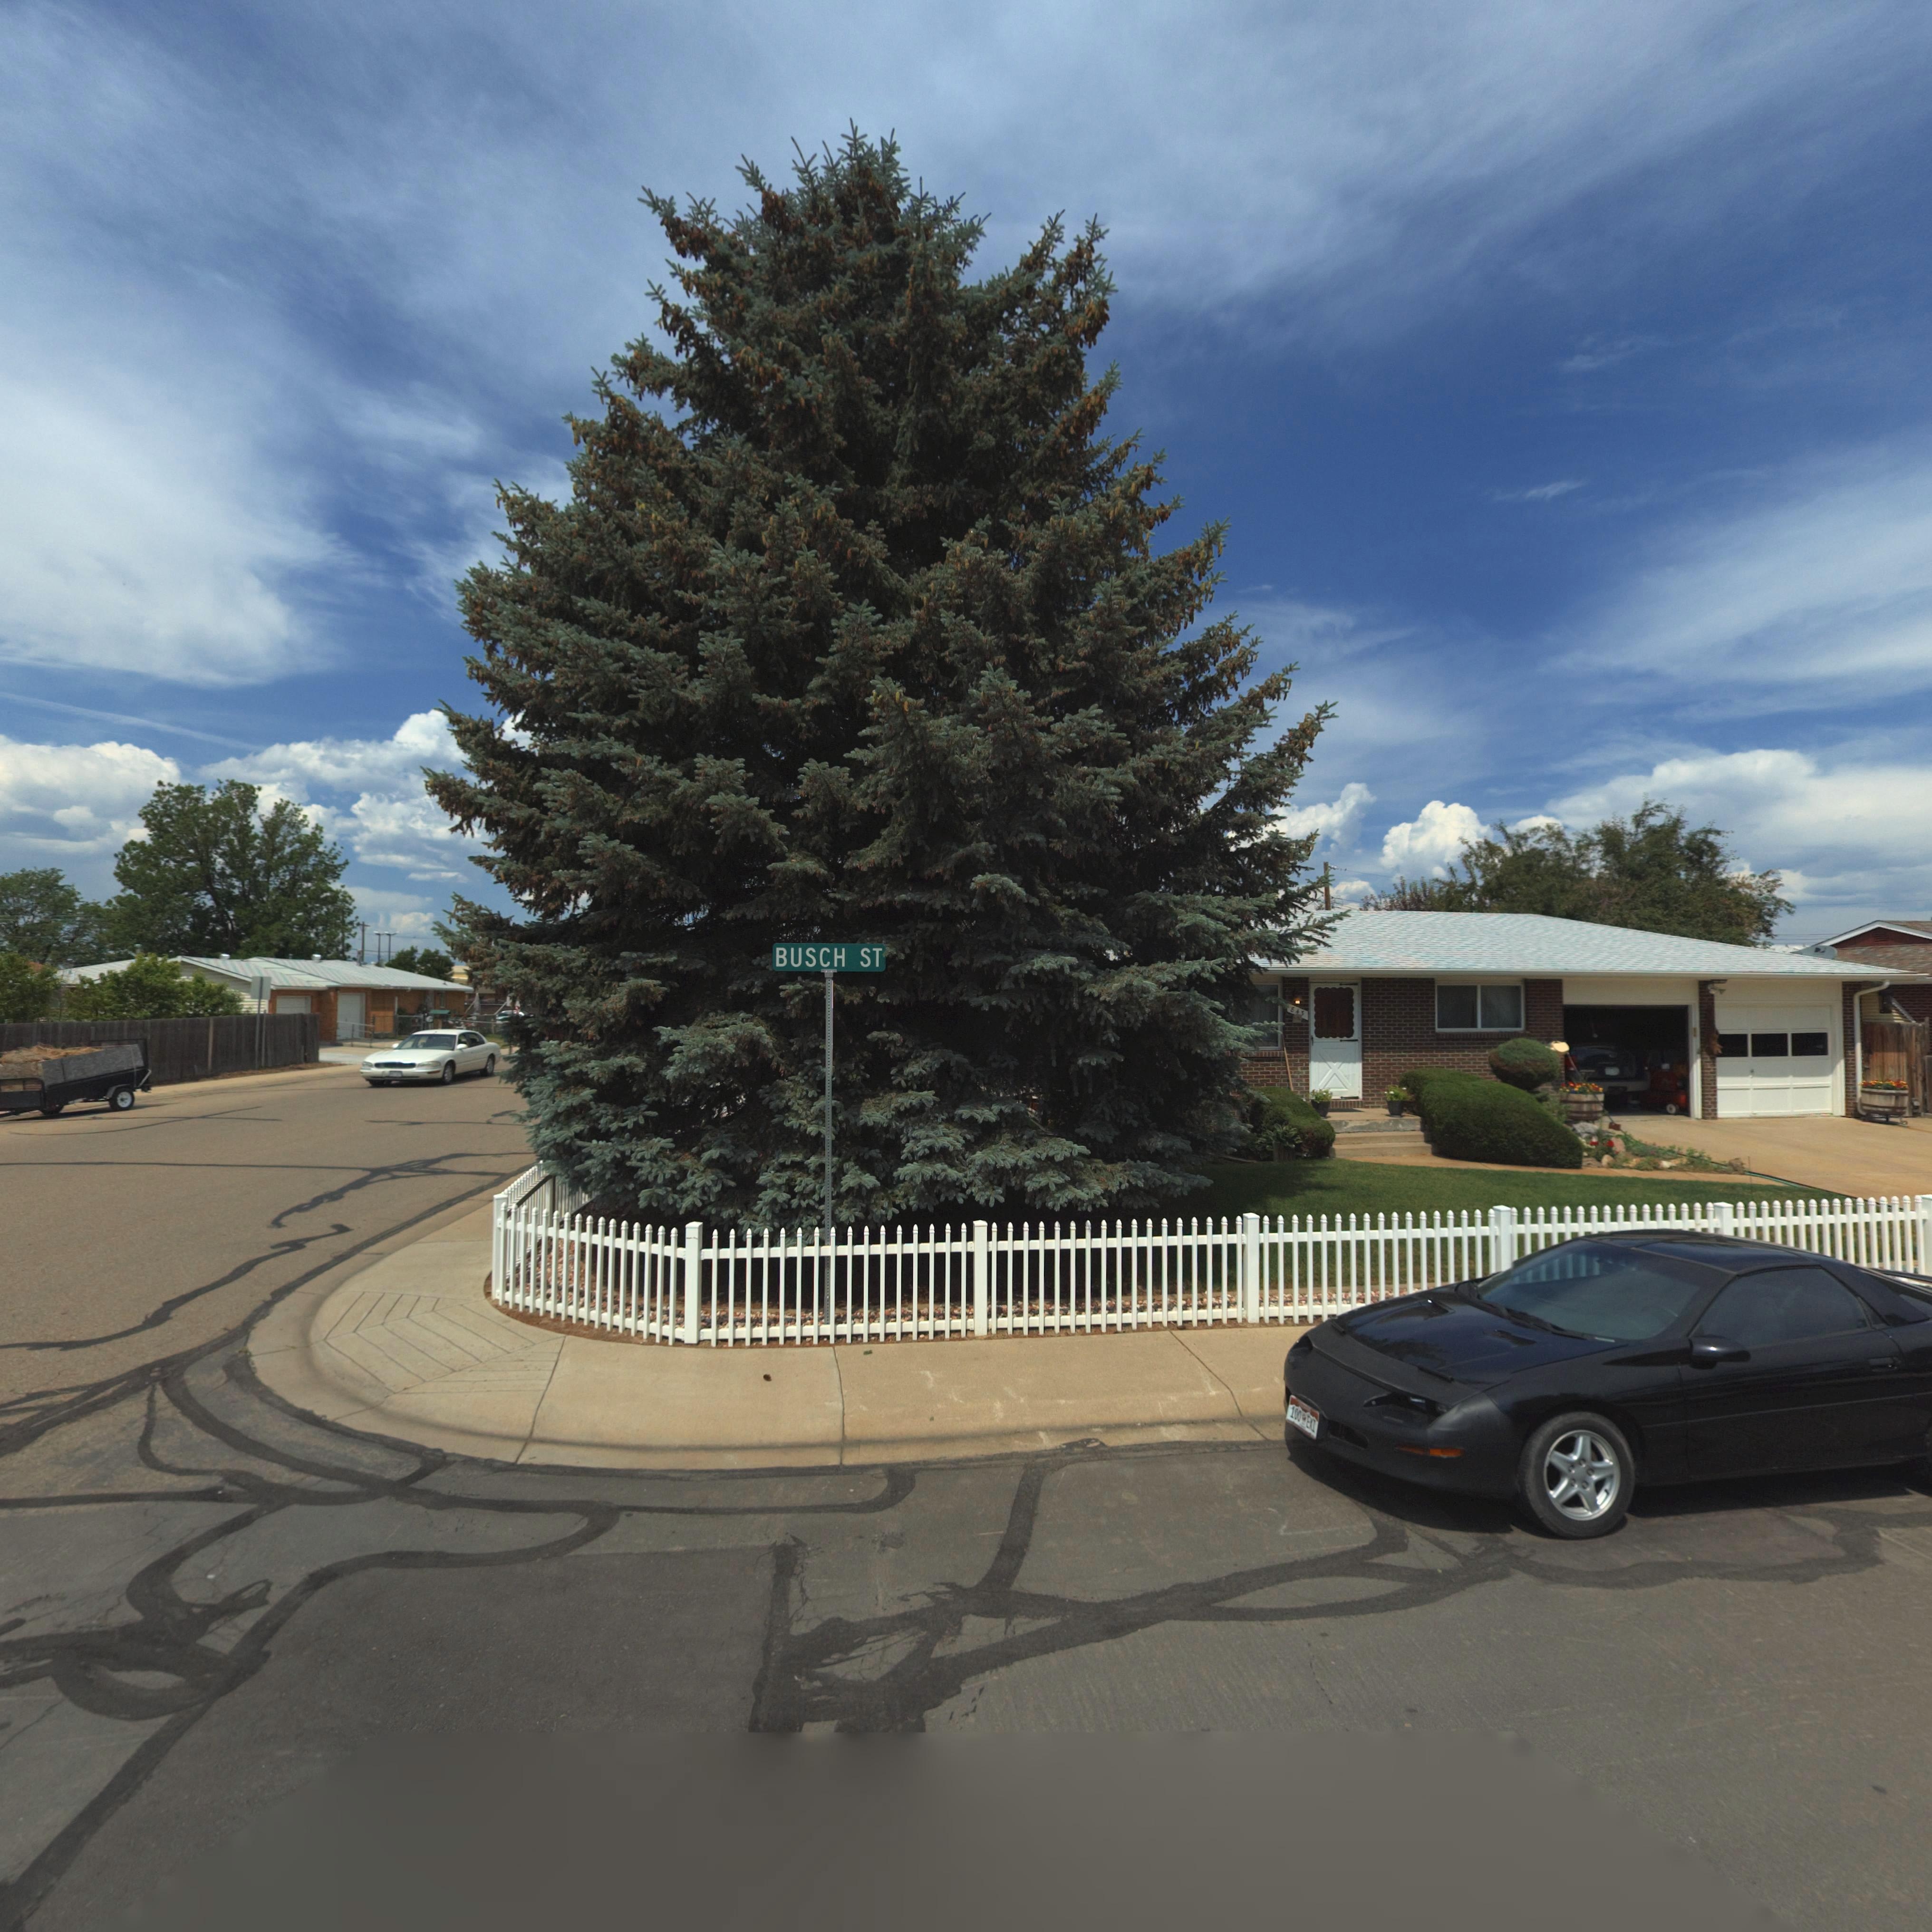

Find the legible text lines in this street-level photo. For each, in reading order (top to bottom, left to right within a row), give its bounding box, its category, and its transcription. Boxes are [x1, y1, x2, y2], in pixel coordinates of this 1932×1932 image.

[775, 947, 883, 967] StreetName: BUSCH ST
[1290, 1006, 1304, 1016] StreetNumber: 843